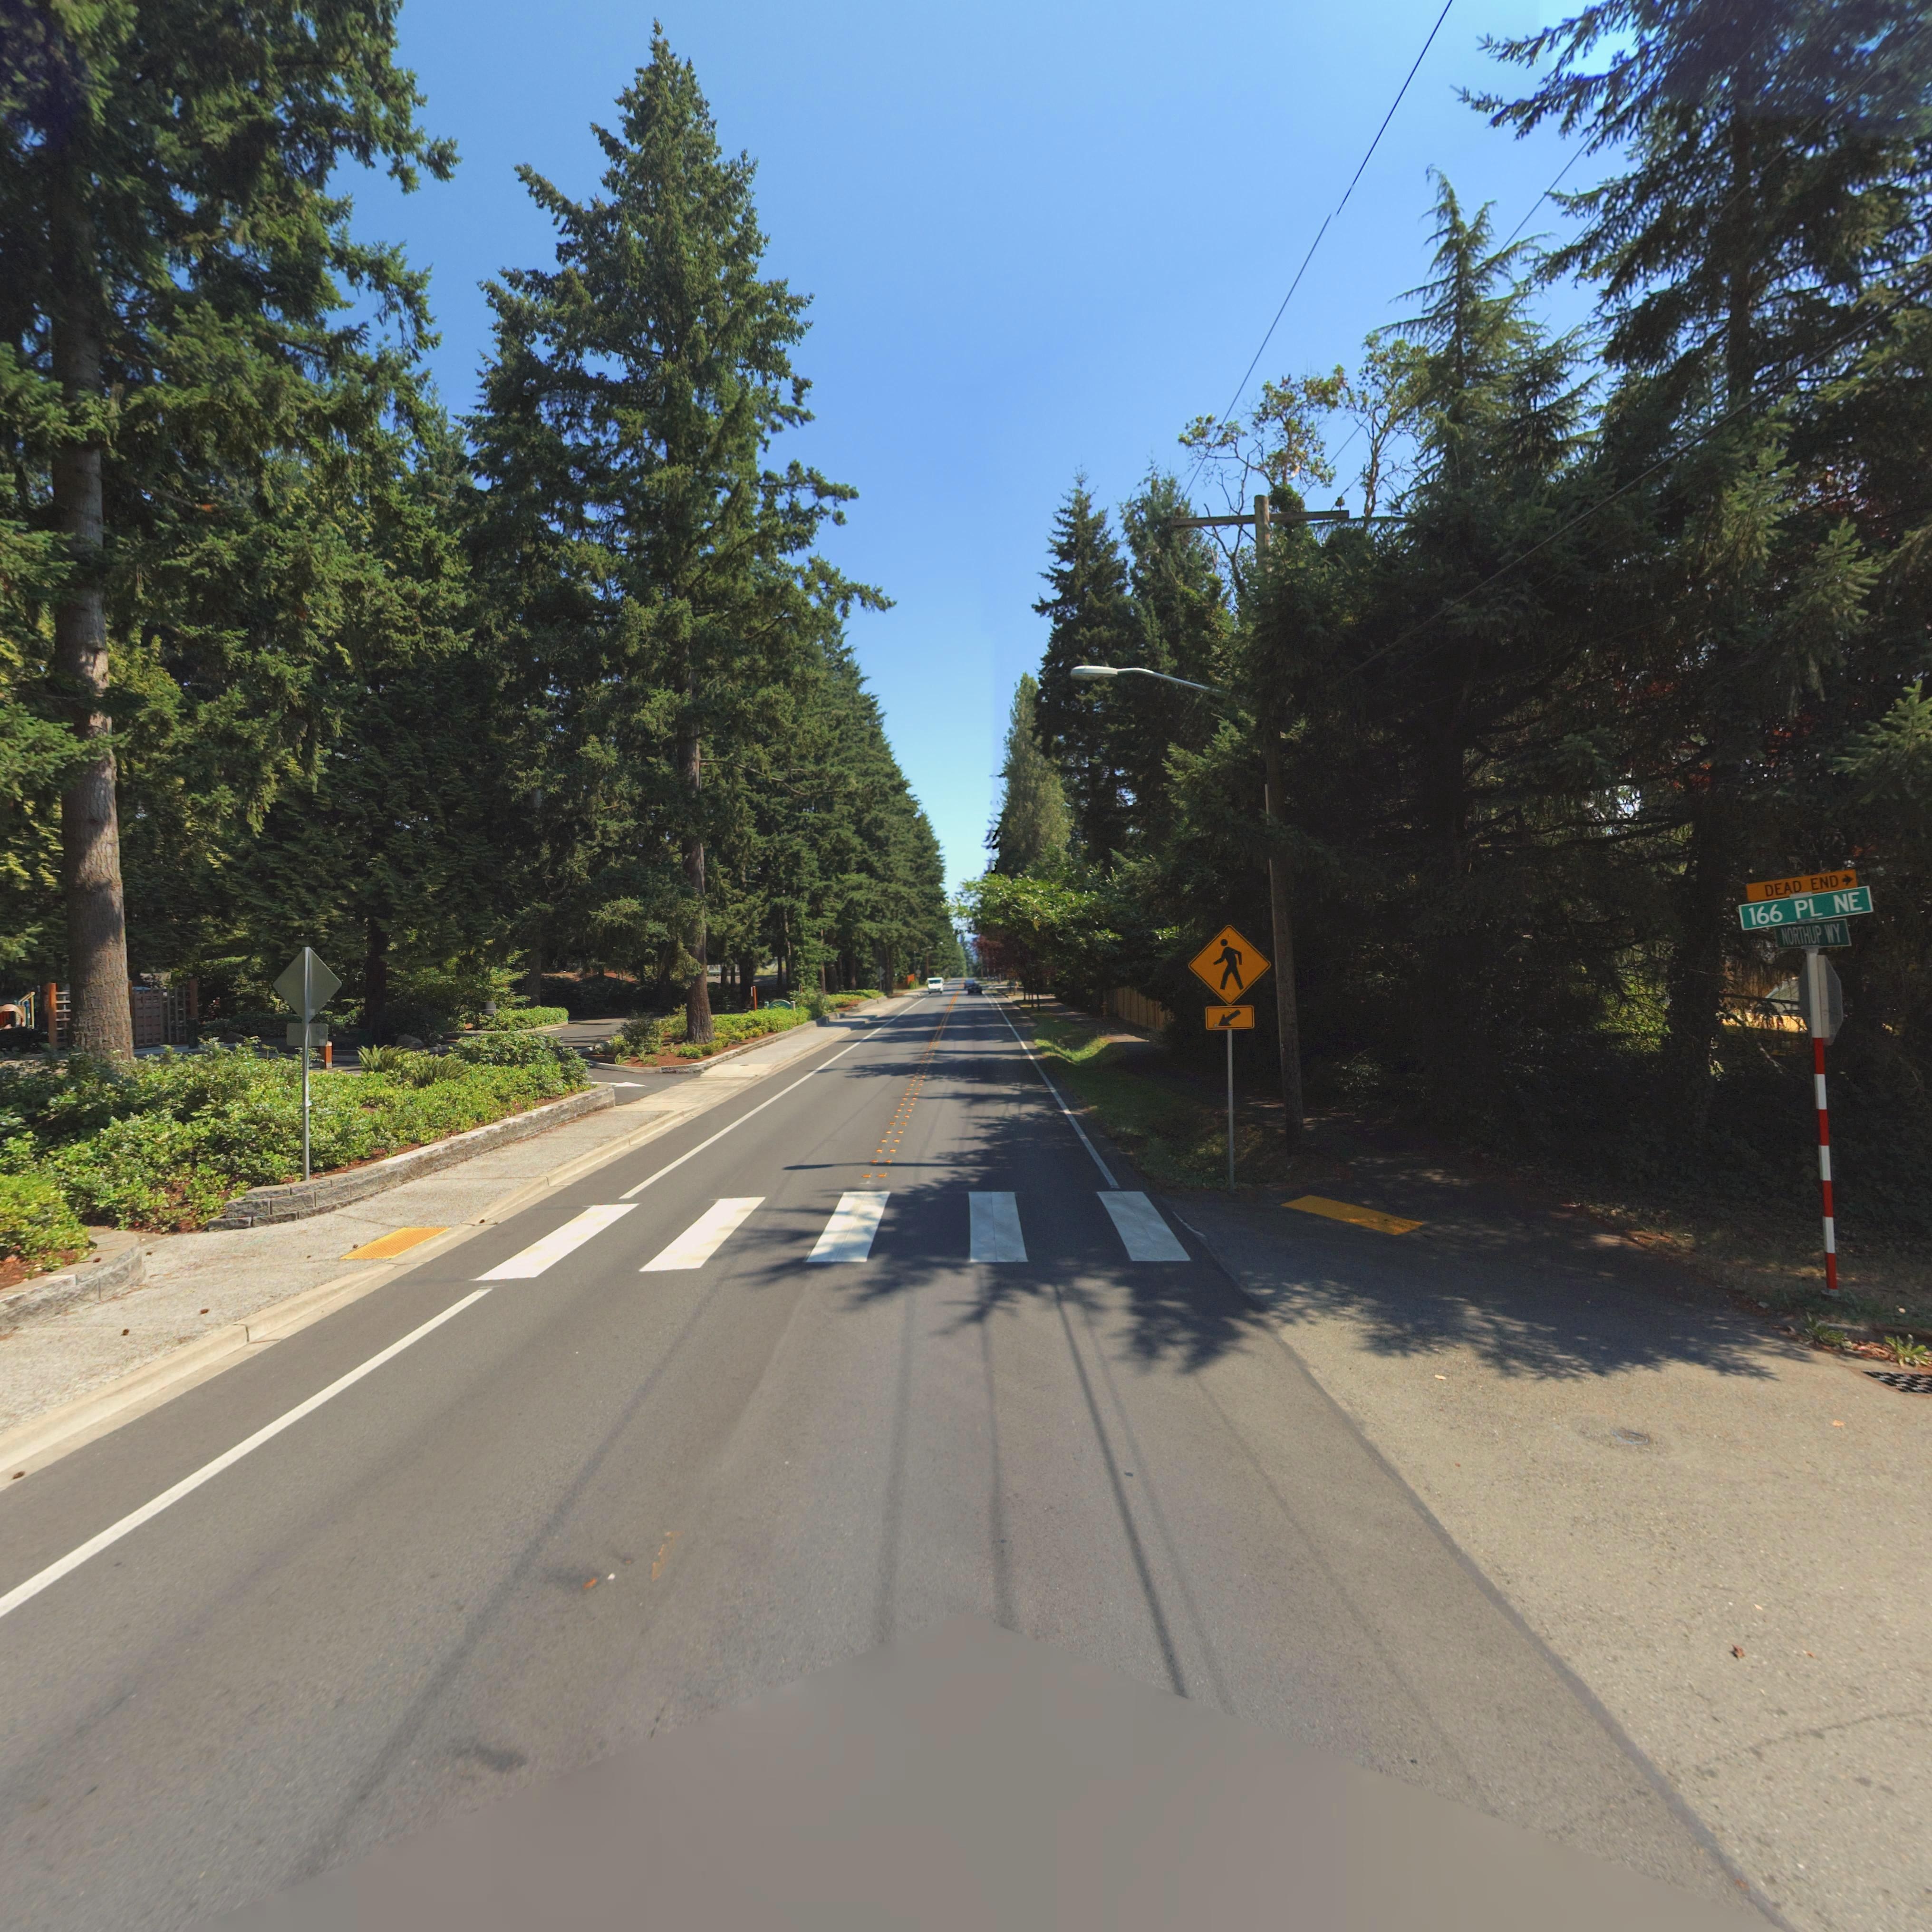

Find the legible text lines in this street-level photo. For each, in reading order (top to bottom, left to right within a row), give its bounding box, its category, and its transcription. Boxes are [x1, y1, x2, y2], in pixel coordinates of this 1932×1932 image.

[1747, 889, 1864, 927] StreetName: 166 PL NE
[1778, 923, 1841, 946] StreetName: NORTHUP WY